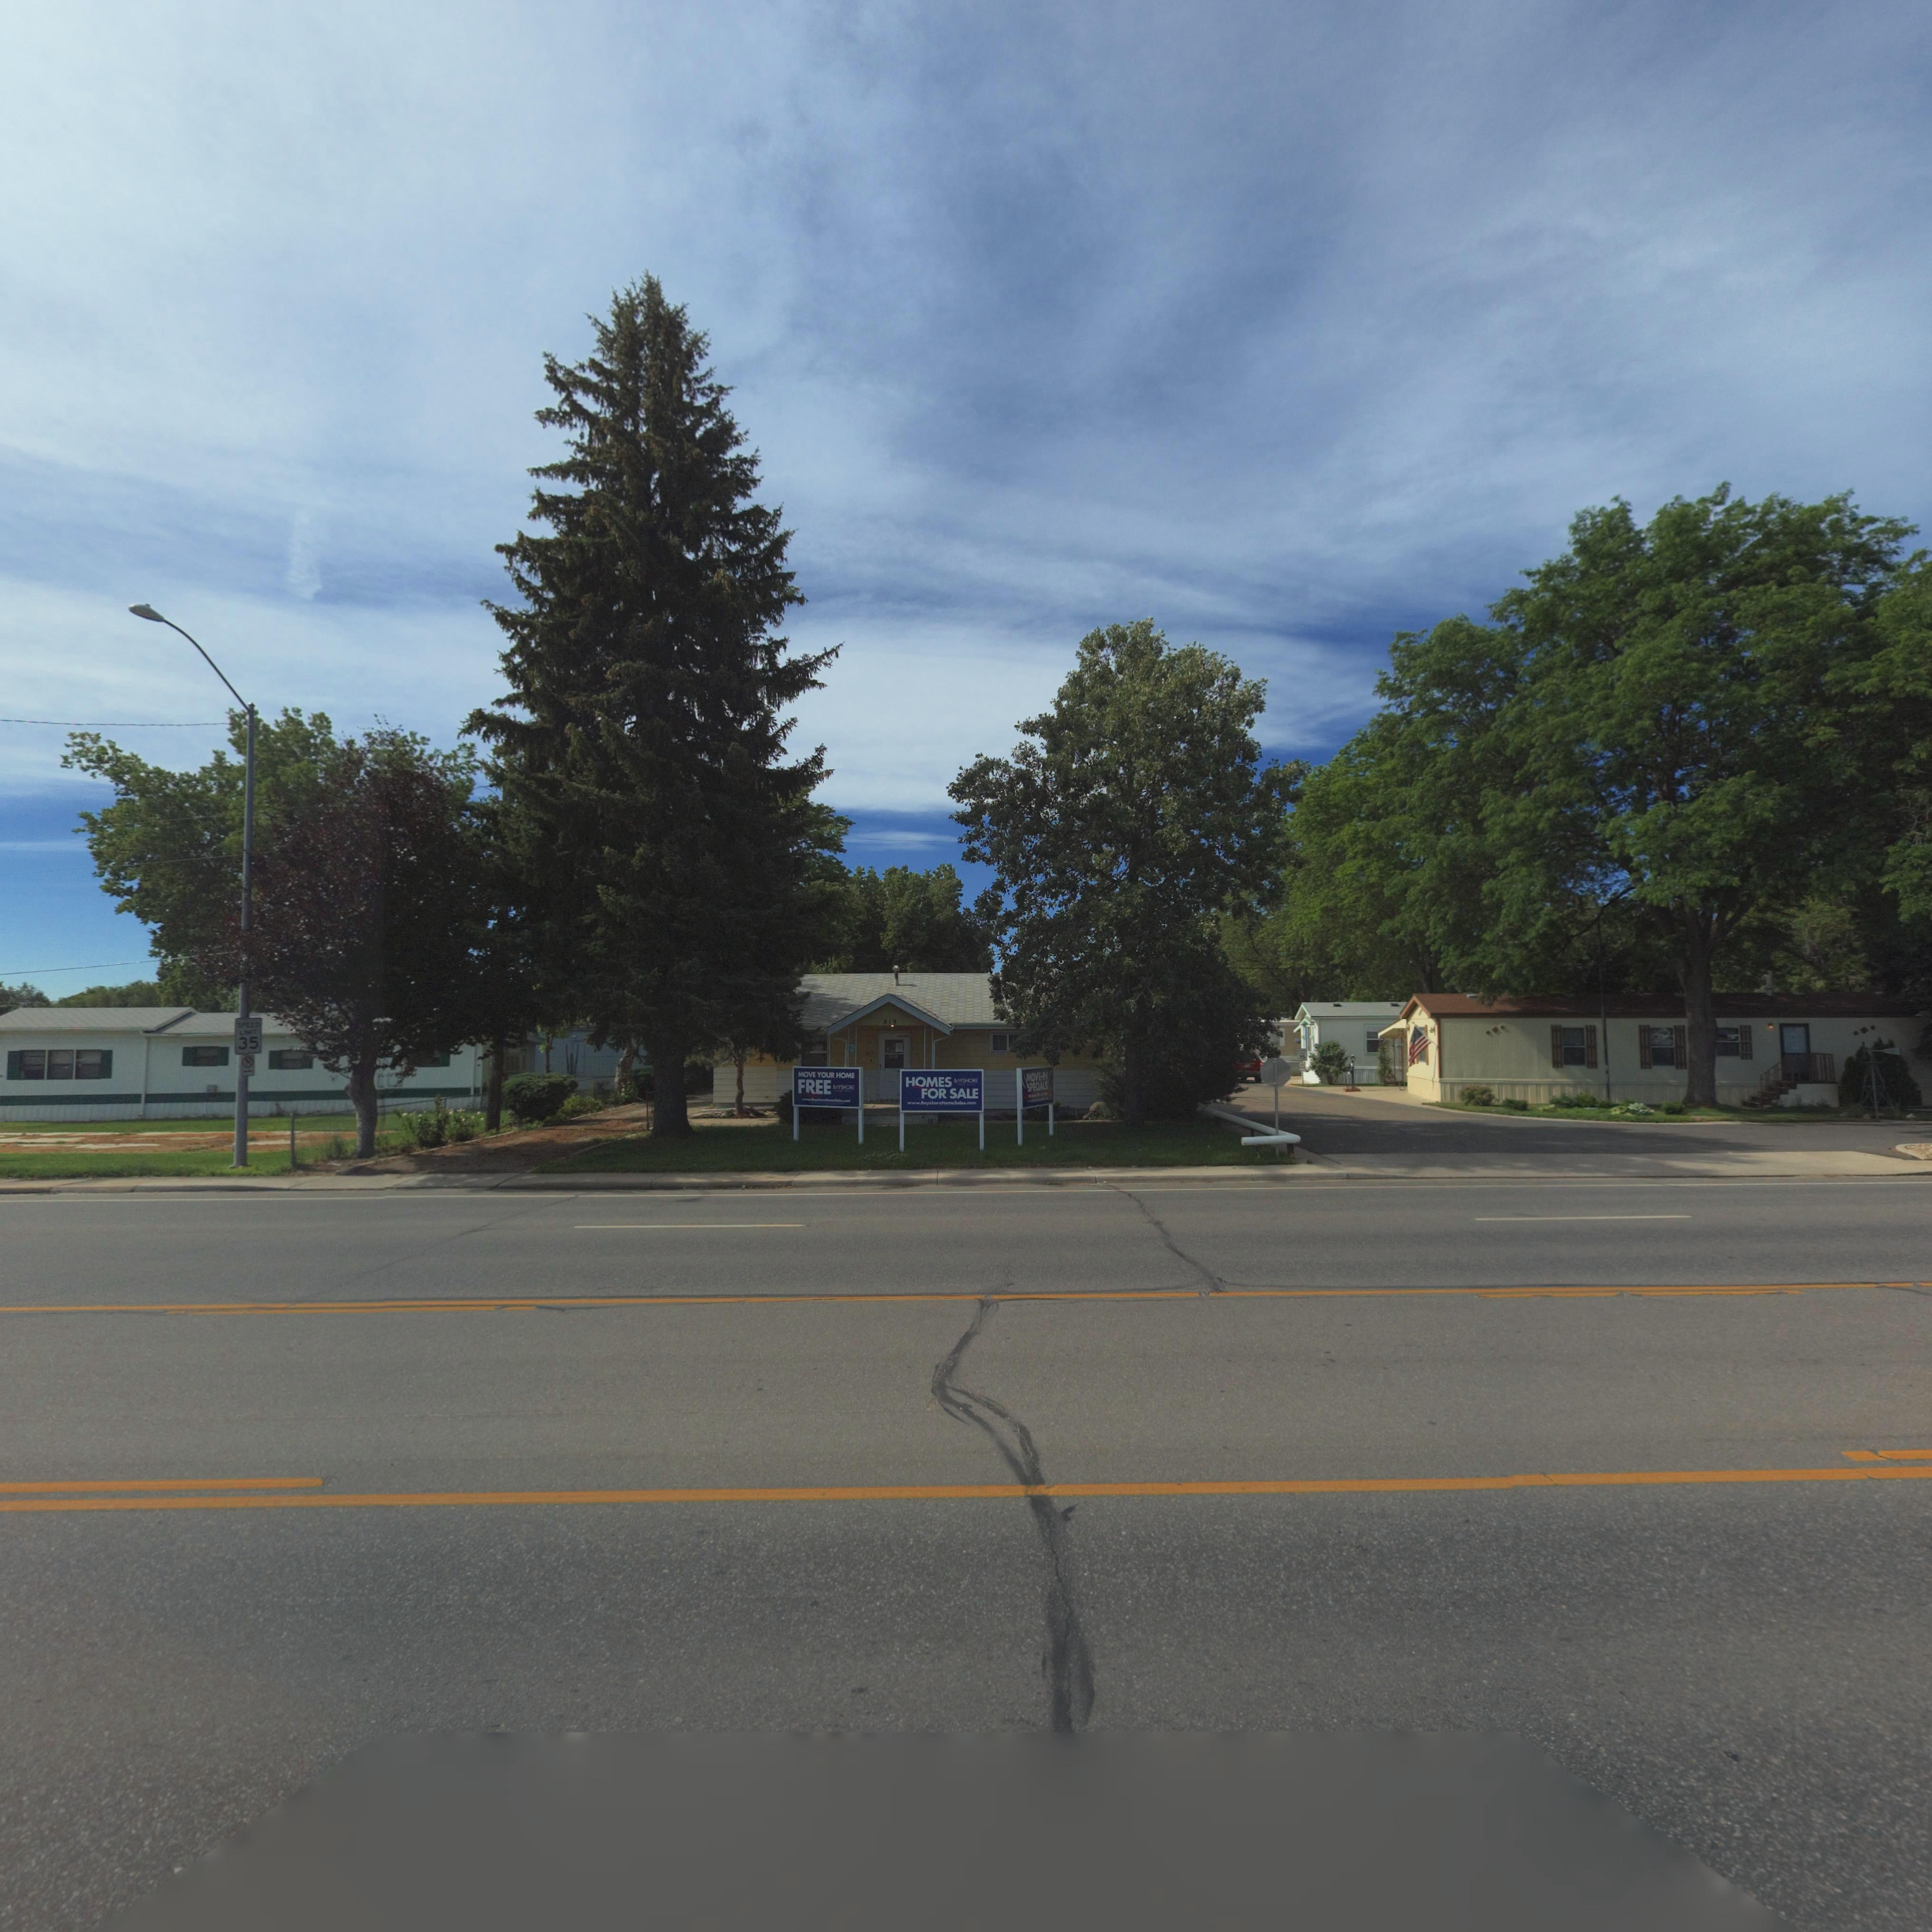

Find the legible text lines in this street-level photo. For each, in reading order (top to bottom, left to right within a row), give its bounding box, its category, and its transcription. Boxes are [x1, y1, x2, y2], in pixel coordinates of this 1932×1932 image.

[883, 1019, 897, 1024] StreetNumber: 819